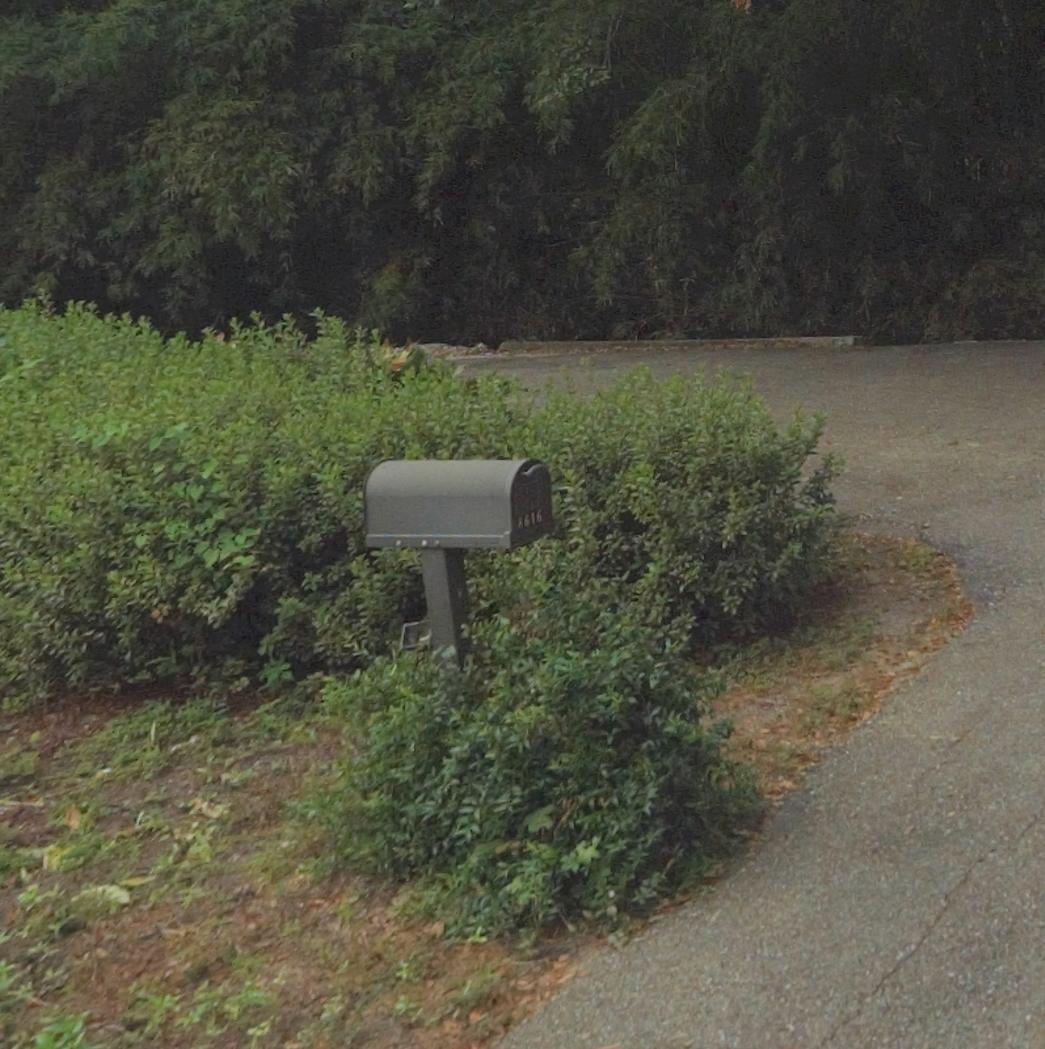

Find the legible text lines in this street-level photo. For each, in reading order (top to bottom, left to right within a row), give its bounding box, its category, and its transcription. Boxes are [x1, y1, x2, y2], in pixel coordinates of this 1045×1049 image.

[516, 506, 546, 533] StreetNumber: 8616